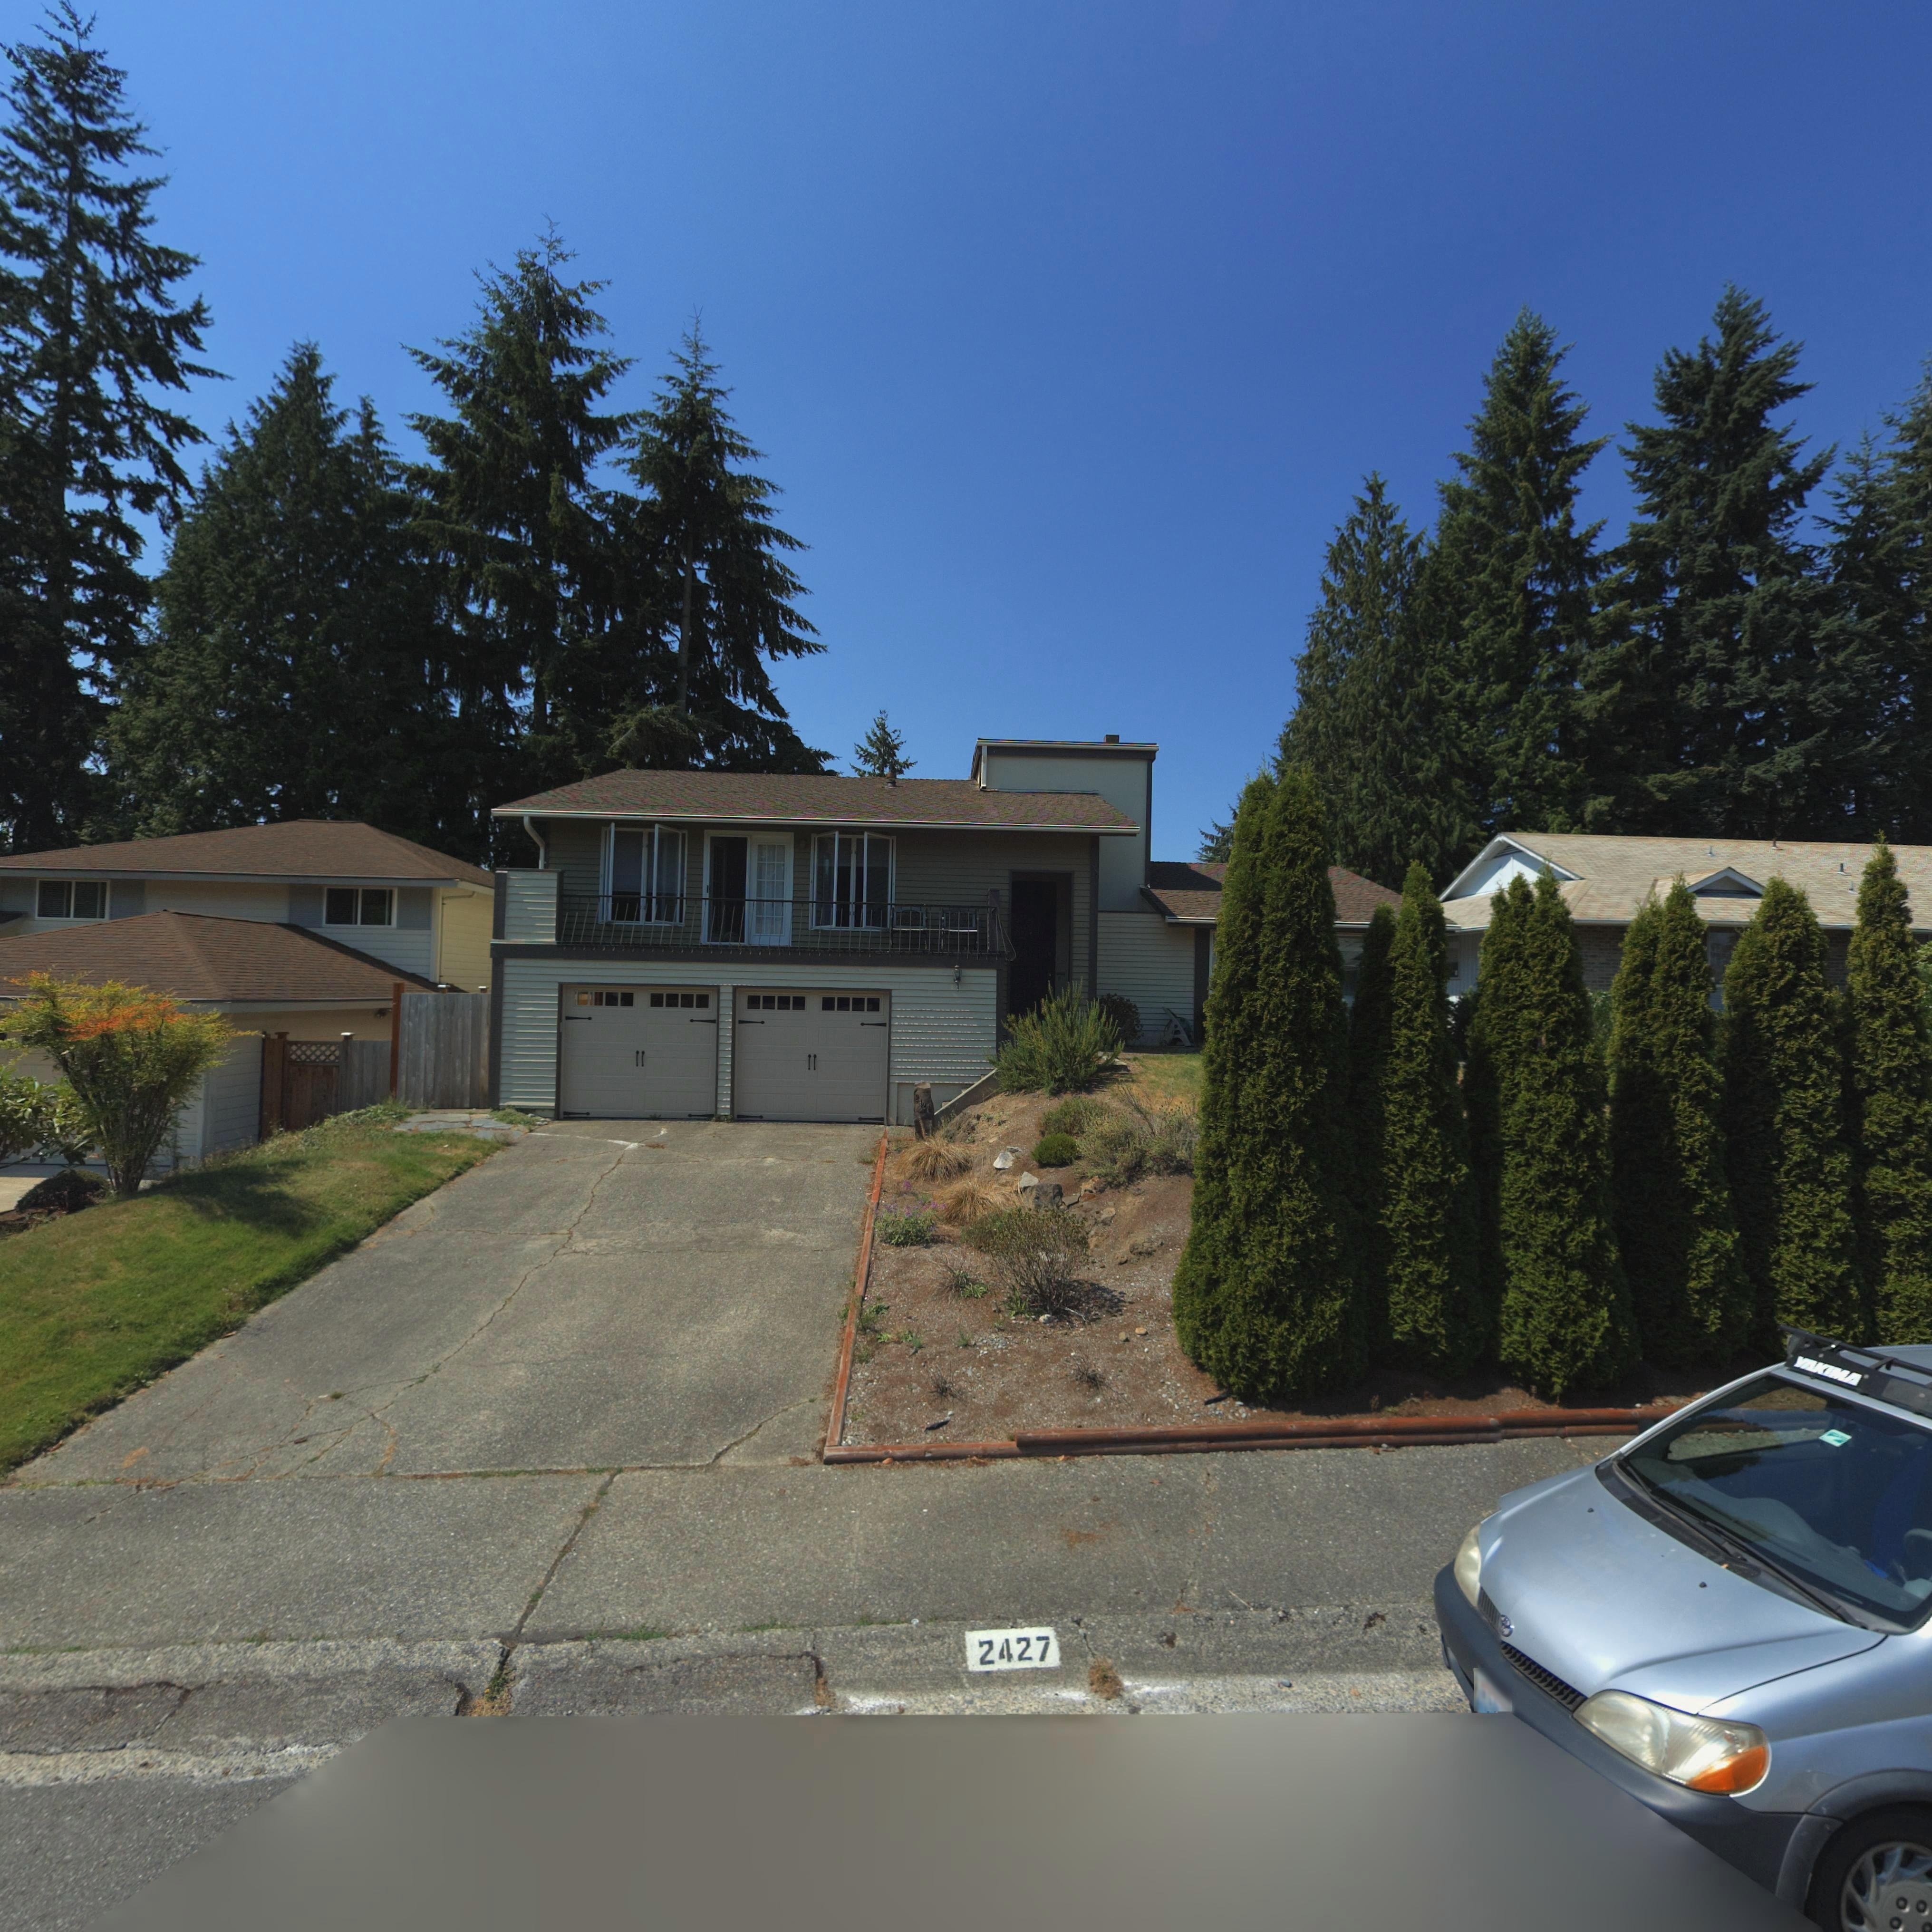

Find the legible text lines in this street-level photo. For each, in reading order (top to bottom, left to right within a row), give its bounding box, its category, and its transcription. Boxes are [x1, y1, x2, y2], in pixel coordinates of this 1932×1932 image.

[977, 1636, 1051, 1666] StreetNumber: 2427